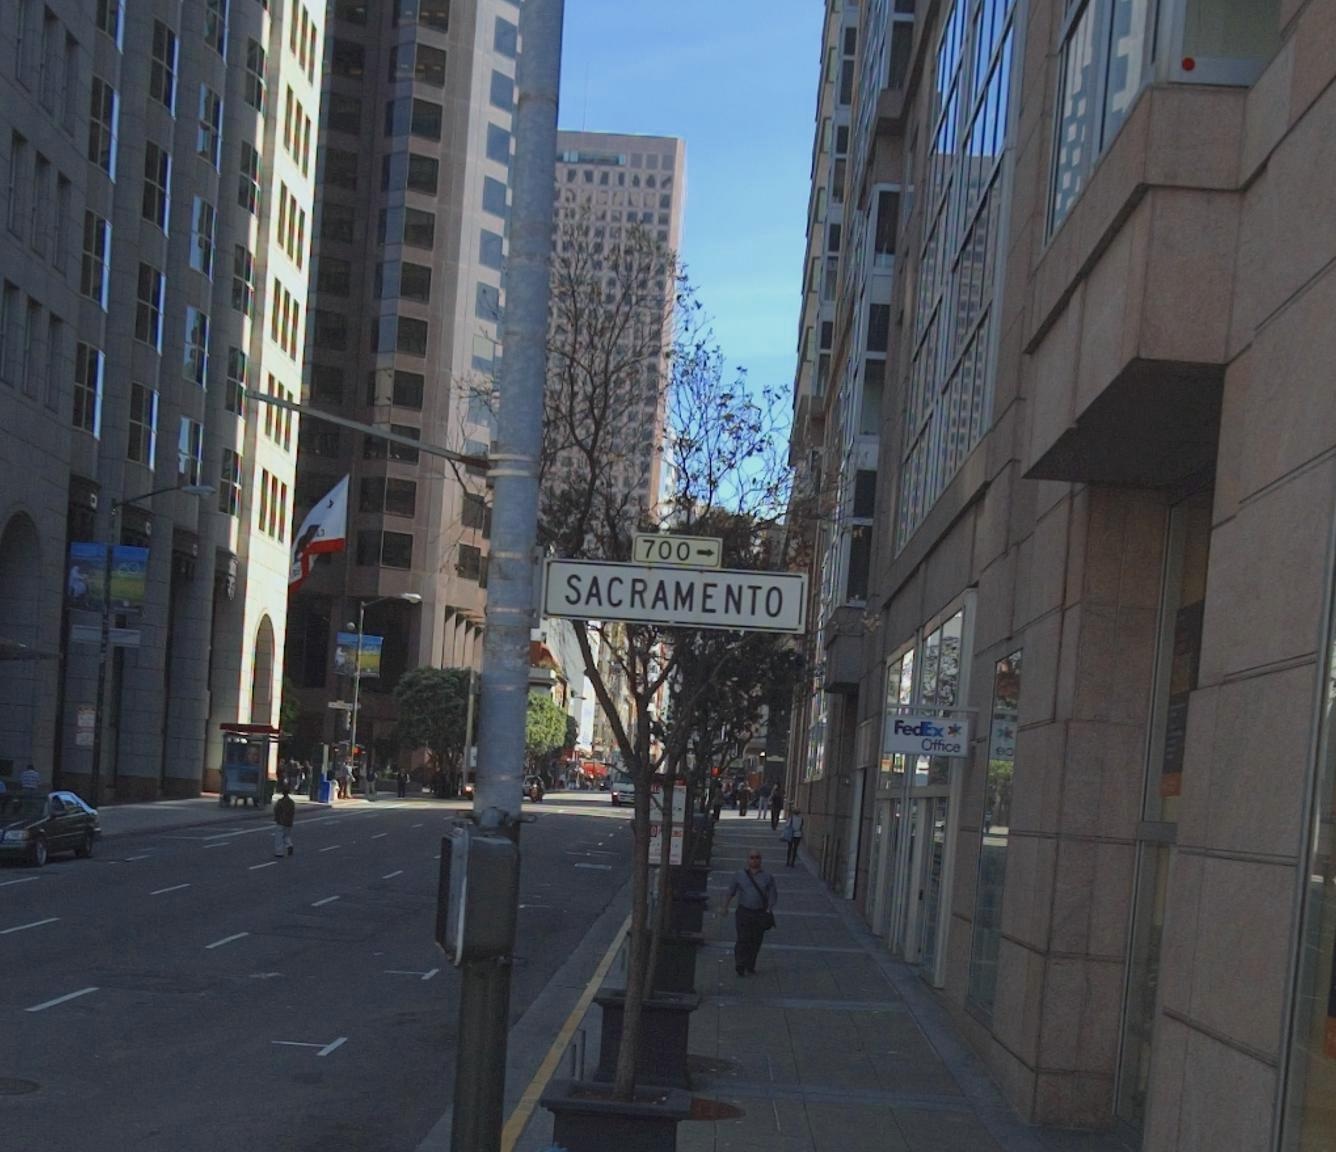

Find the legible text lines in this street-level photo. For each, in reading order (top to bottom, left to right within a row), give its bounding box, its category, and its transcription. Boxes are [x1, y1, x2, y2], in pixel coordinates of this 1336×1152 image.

[640, 536, 719, 564] StreetNumberRange: 700->
[561, 572, 786, 621] StreetName: SACRAMENTO
[892, 717, 947, 741] BusinessName: FedEx
[919, 736, 964, 755] BusinessName: Office